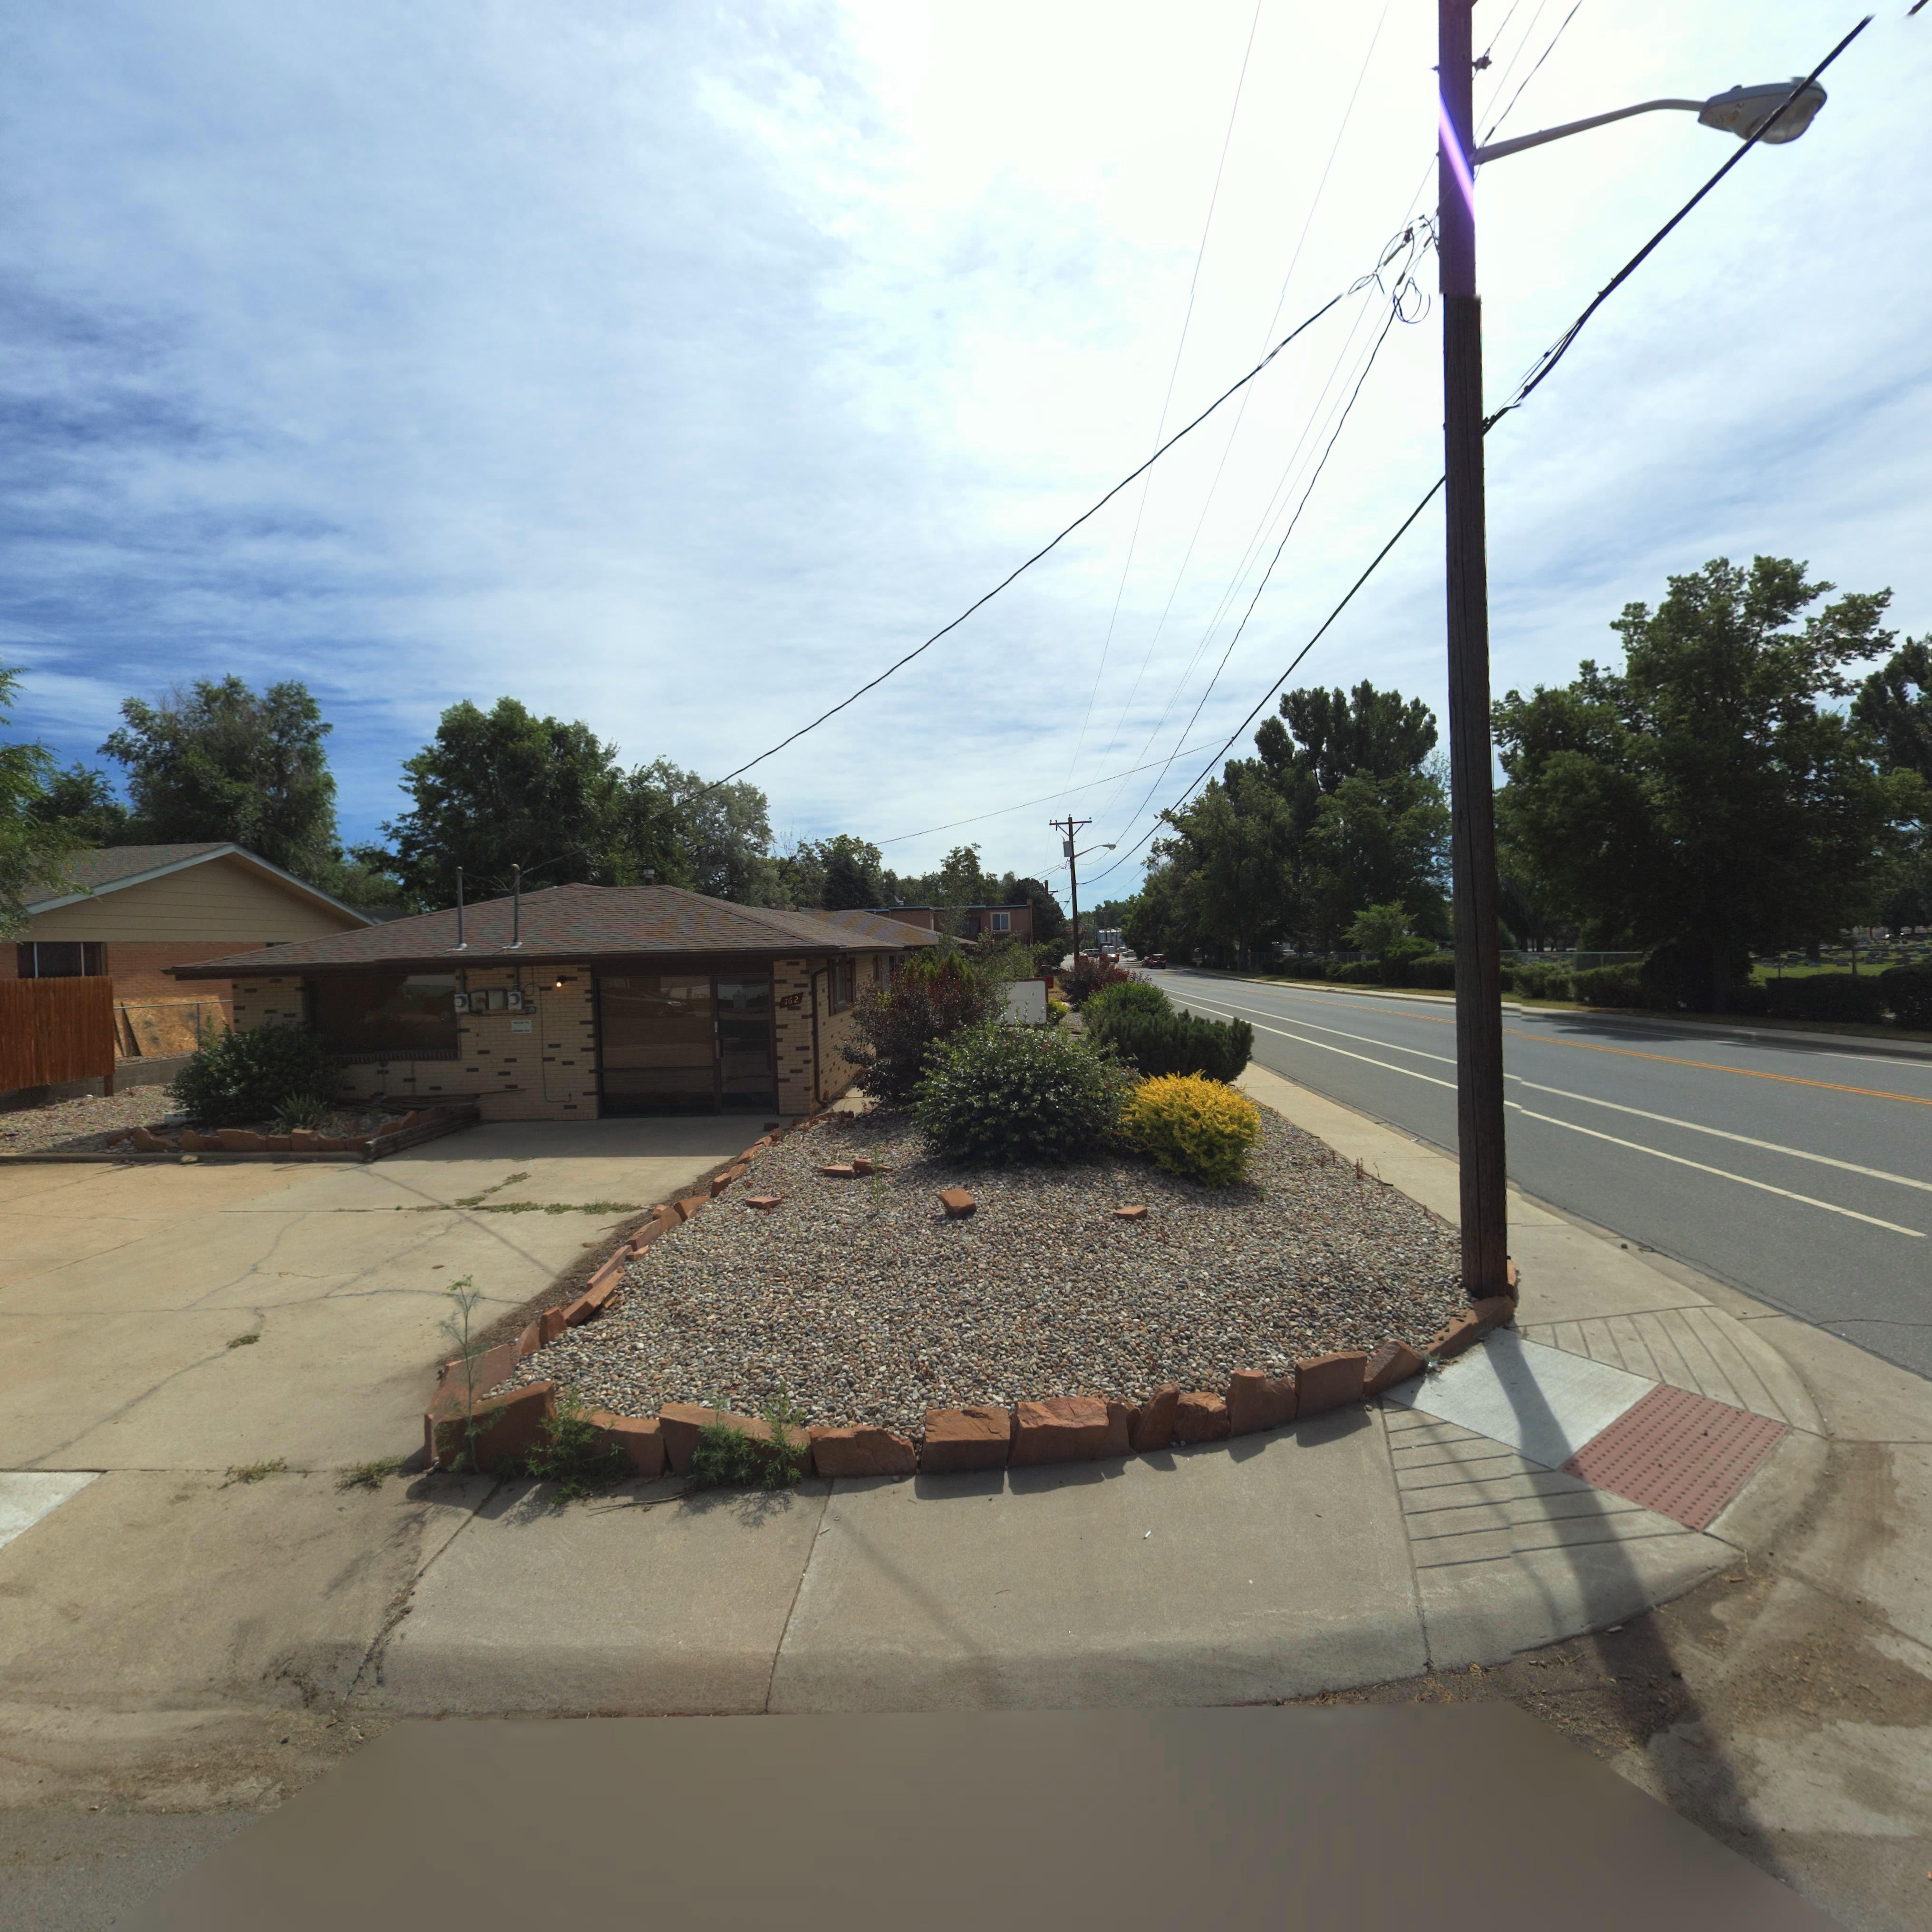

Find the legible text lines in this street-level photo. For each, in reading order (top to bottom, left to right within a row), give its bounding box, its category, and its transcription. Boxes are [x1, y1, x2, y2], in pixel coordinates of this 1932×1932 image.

[783, 995, 799, 1006] StreetNumber: 762